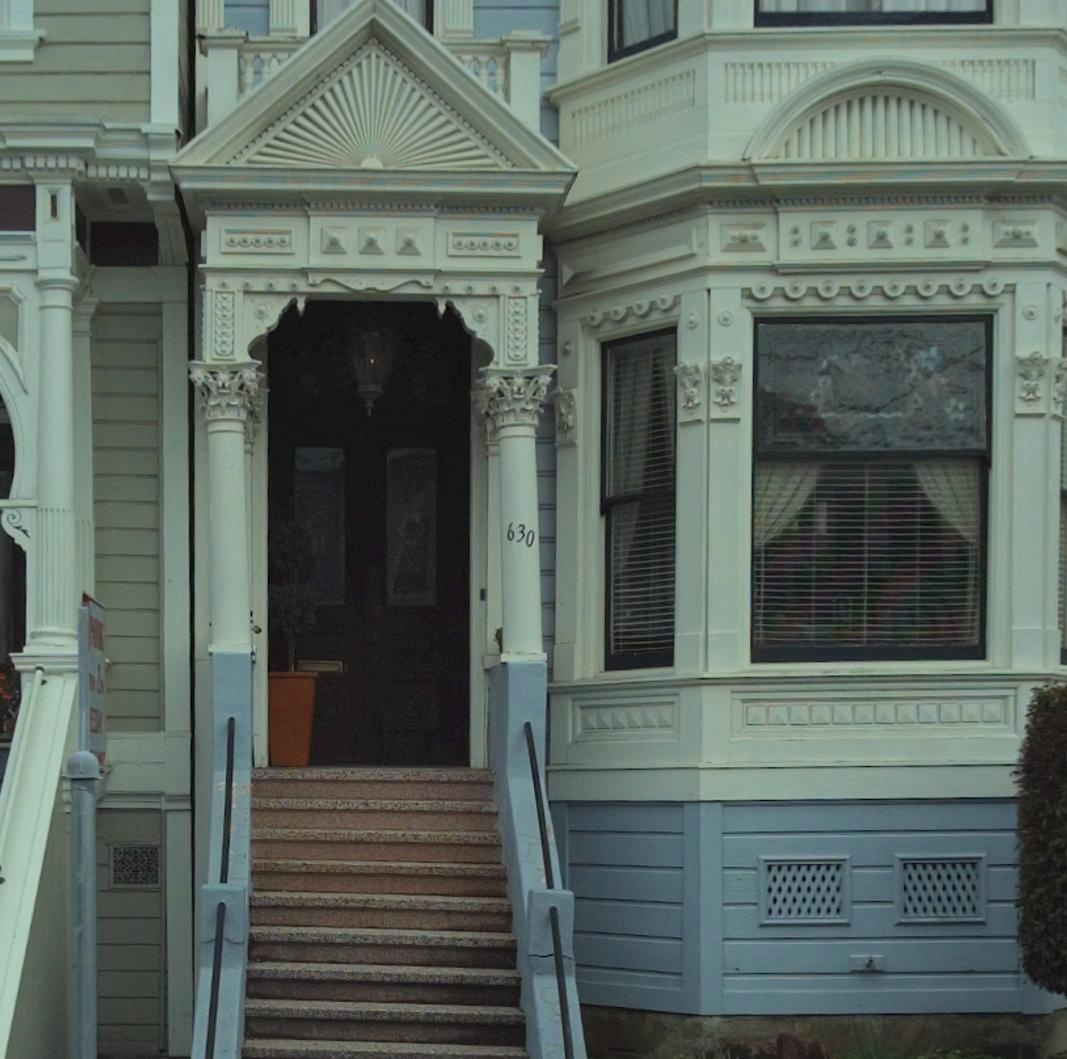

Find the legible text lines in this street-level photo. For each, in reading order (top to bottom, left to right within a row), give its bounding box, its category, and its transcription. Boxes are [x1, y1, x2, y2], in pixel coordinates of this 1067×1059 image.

[505, 519, 537, 549] StreetNumber: 630